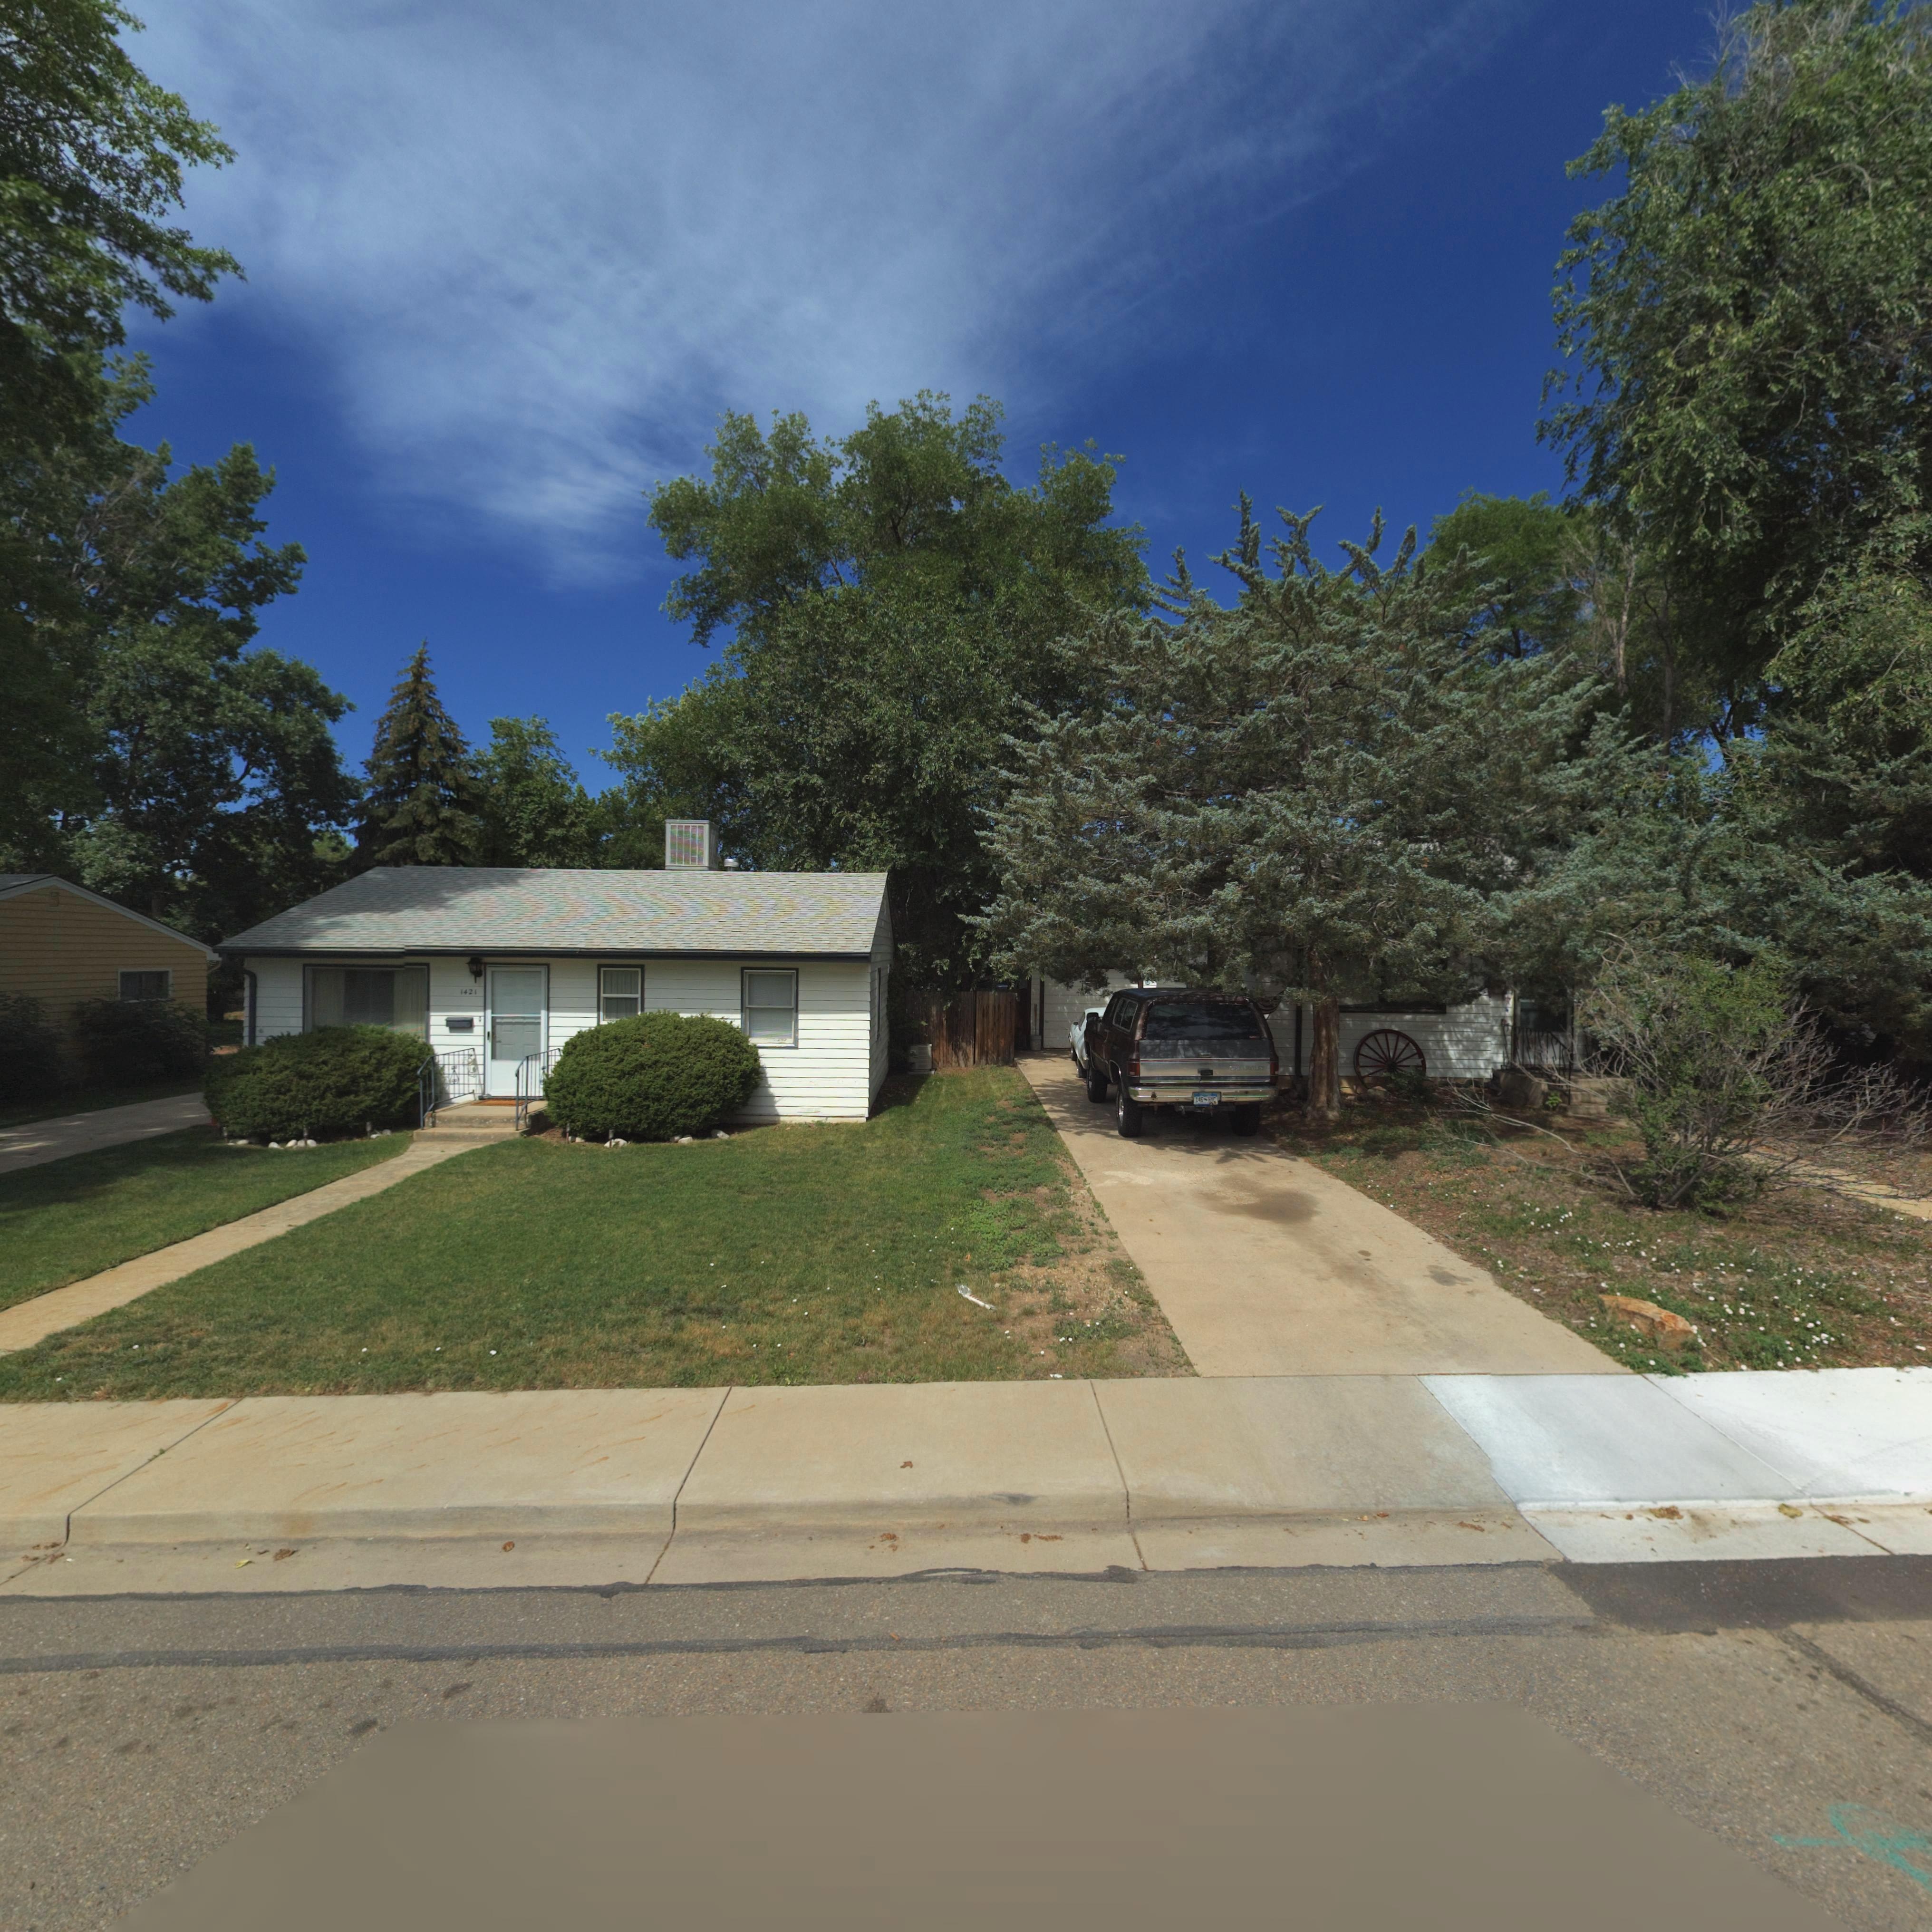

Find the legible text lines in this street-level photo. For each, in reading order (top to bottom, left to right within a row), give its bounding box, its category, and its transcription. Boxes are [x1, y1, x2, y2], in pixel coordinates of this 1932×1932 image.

[460, 988, 477, 995] StreetNumber: 1421